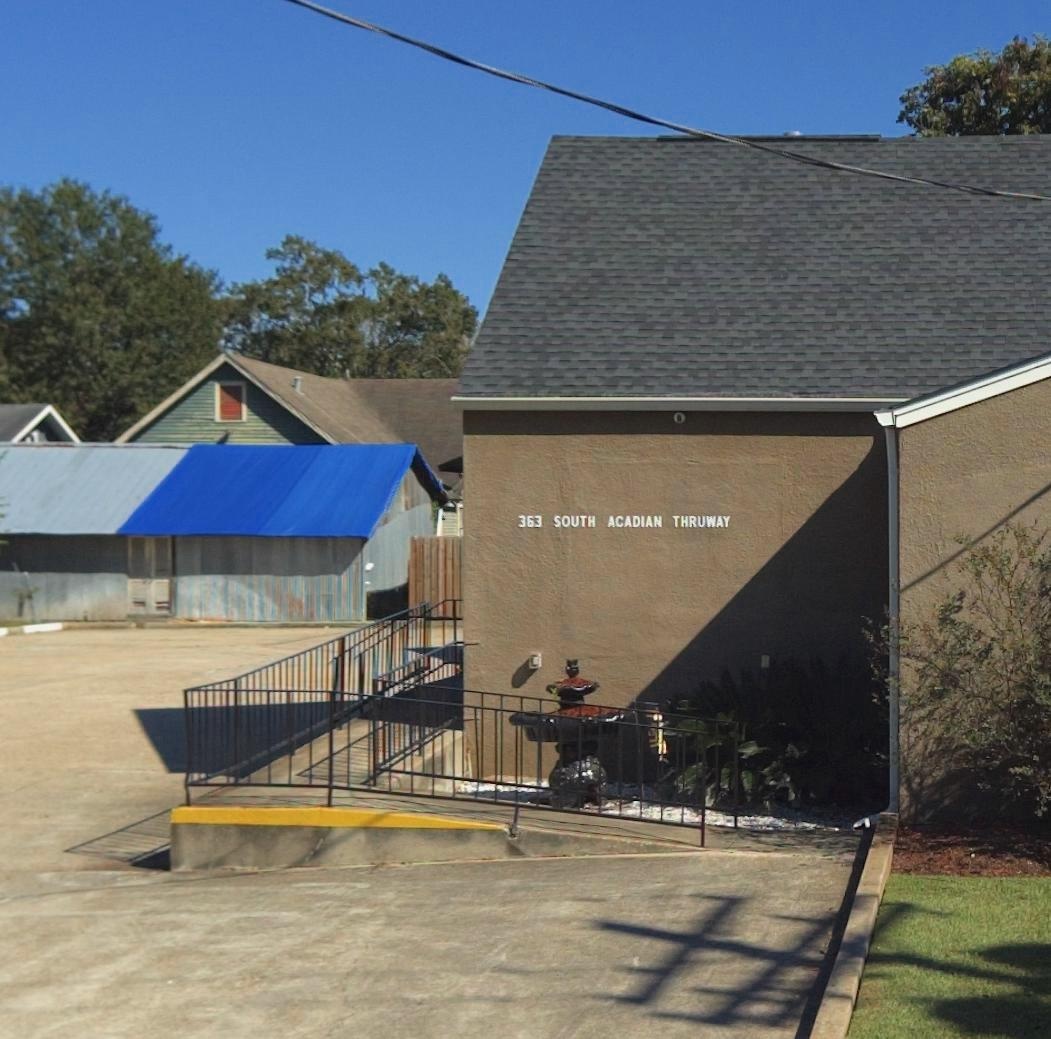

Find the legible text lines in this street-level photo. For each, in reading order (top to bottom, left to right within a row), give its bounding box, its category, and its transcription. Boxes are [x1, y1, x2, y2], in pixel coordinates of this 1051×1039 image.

[516, 513, 544, 529] StreetNumber: 363
[551, 513, 733, 530] StreetName: SOUTH ACADIAN THRUWAY